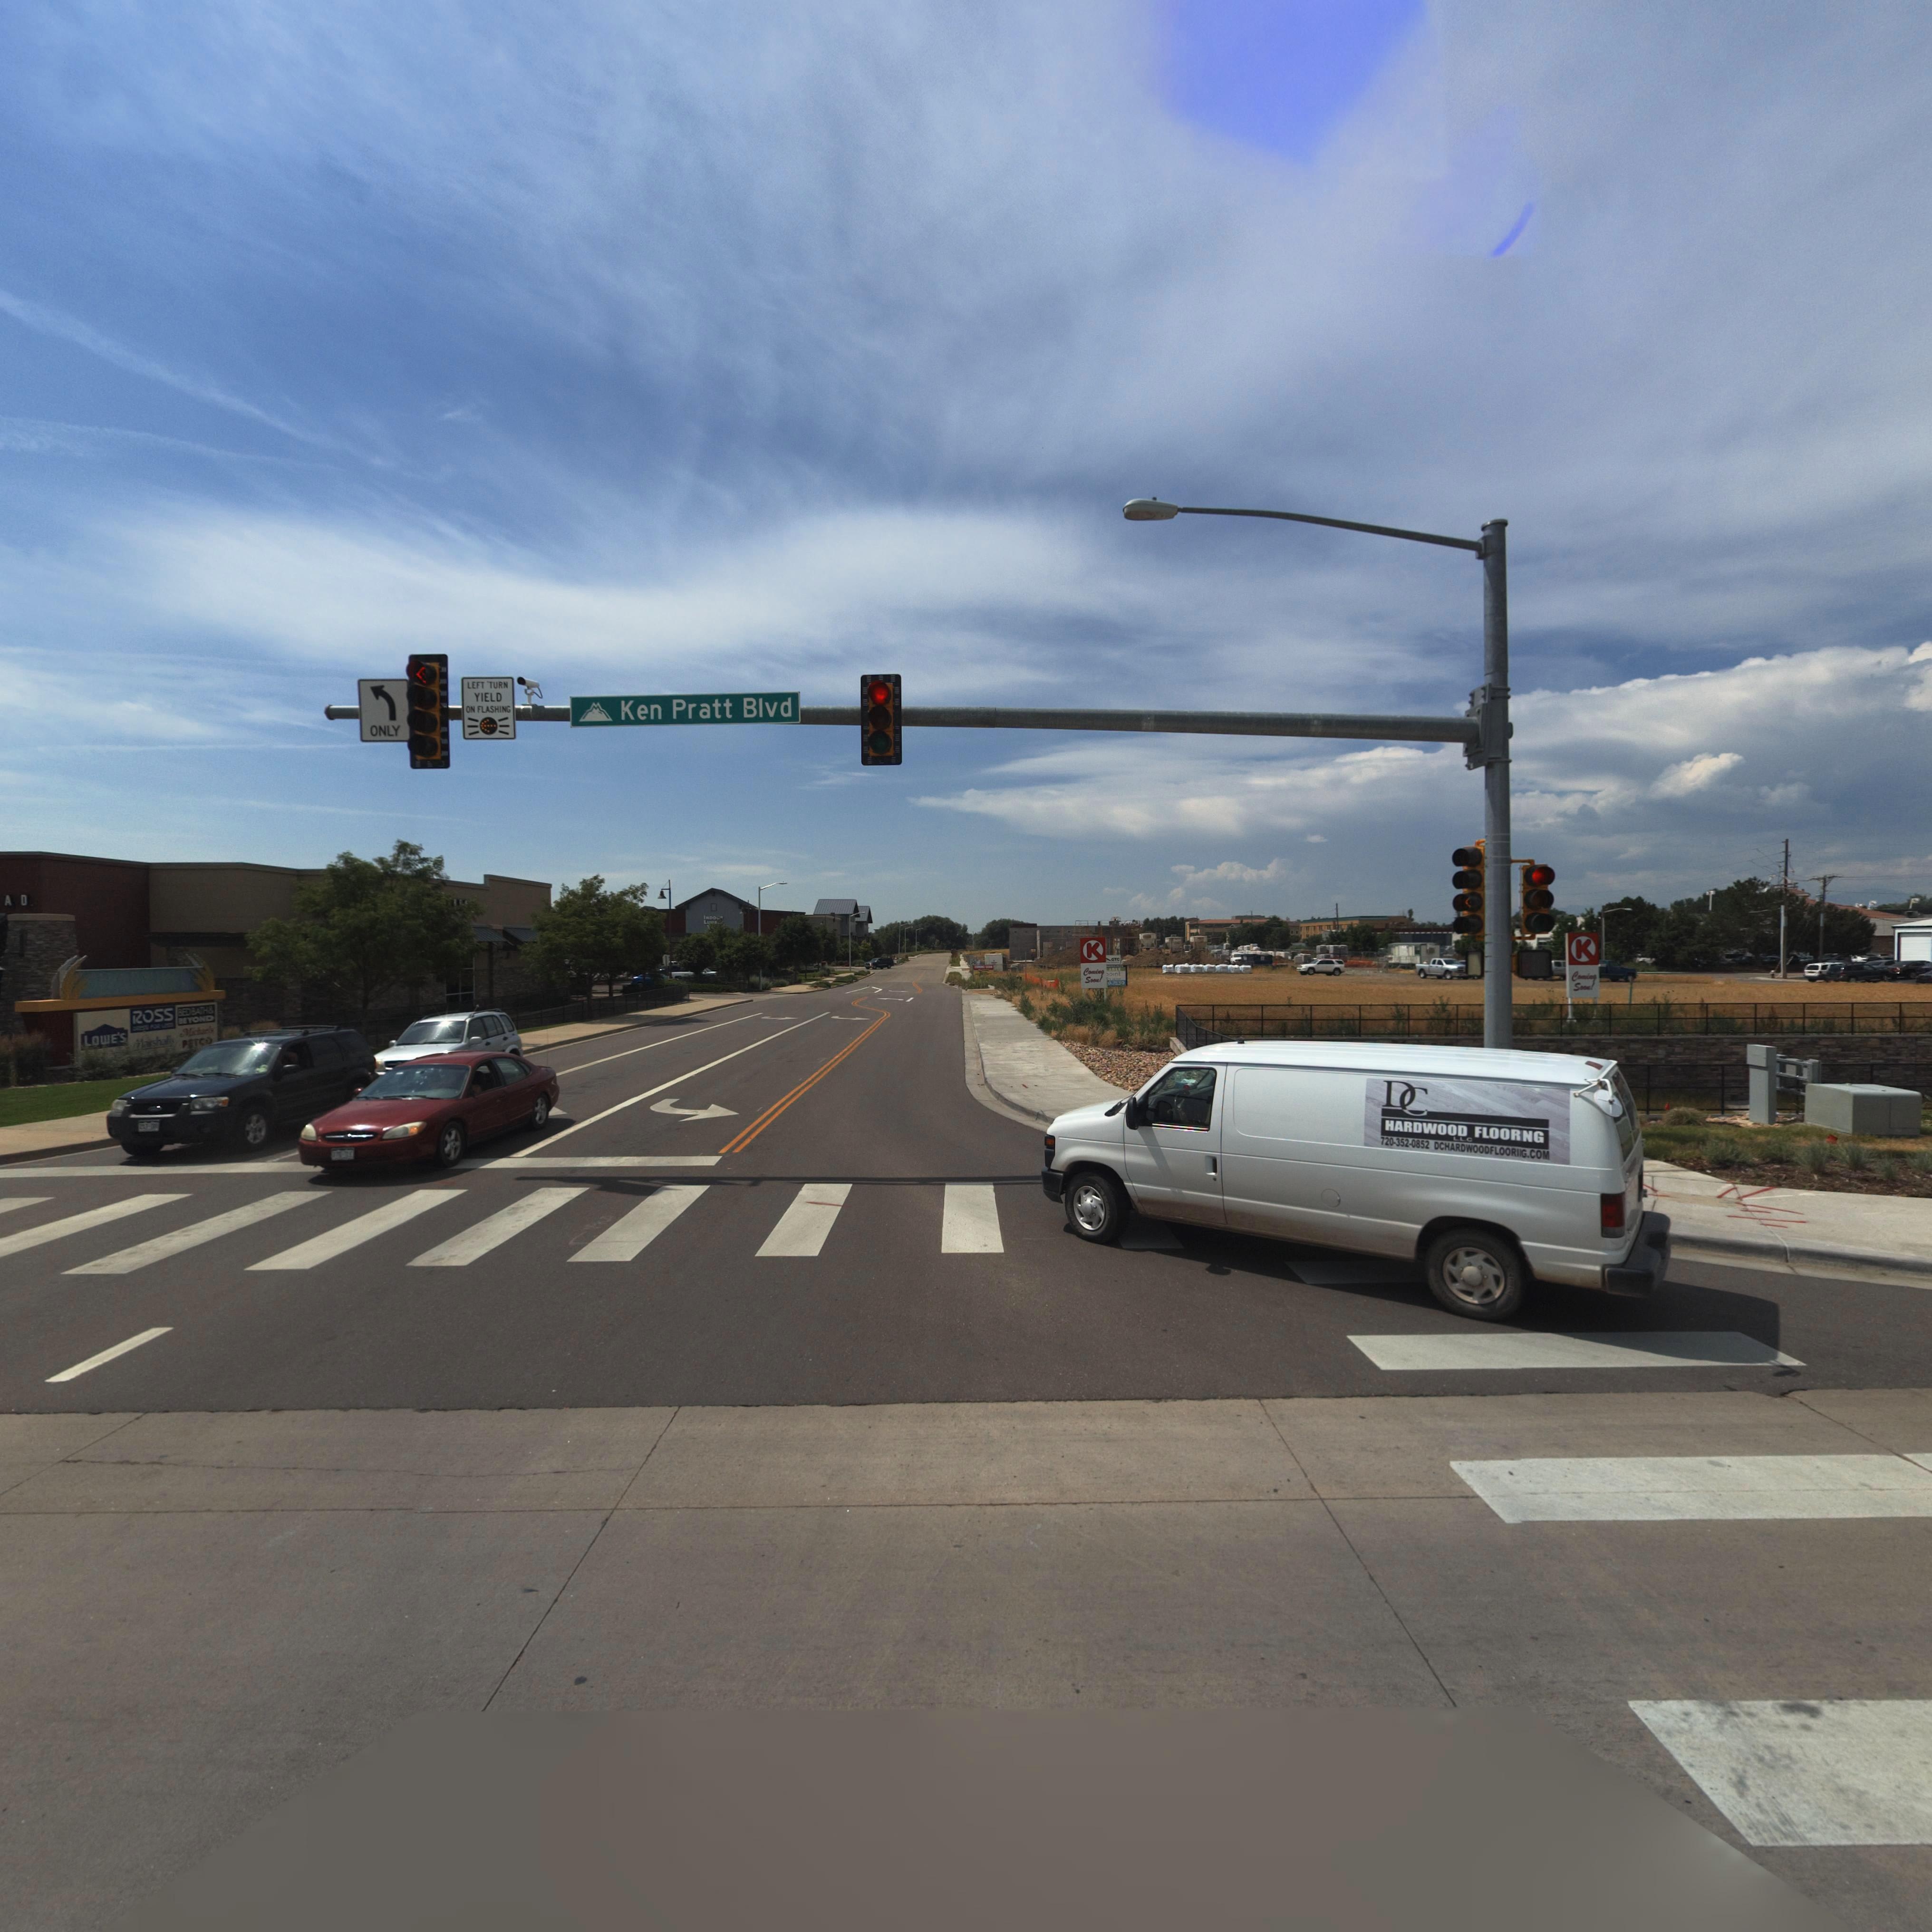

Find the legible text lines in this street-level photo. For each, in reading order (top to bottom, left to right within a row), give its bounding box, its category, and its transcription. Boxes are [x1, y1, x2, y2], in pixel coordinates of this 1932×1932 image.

[620, 696, 792, 720] StreetName: Ken Pratt Blvd
[4, 894, 27, 906] BusinessName: AD
[703, 914, 724, 920] BusinessName: INDO**
[703, 919, 724, 924] BusinessName: L*****
[132, 1007, 174, 1024] BusinessName: ROSS
[177, 1005, 214, 1016] BusinessName: BED BATH &
[177, 1014, 214, 1024] BusinessName: BEYOND
[178, 1024, 214, 1038] BusinessName: Michaels
[83, 1031, 127, 1047] BusinessName: LOwE'S
[130, 1034, 175, 1050] BusinessName: Marshalls
[181, 1036, 213, 1049] BusinessName: PETCOz